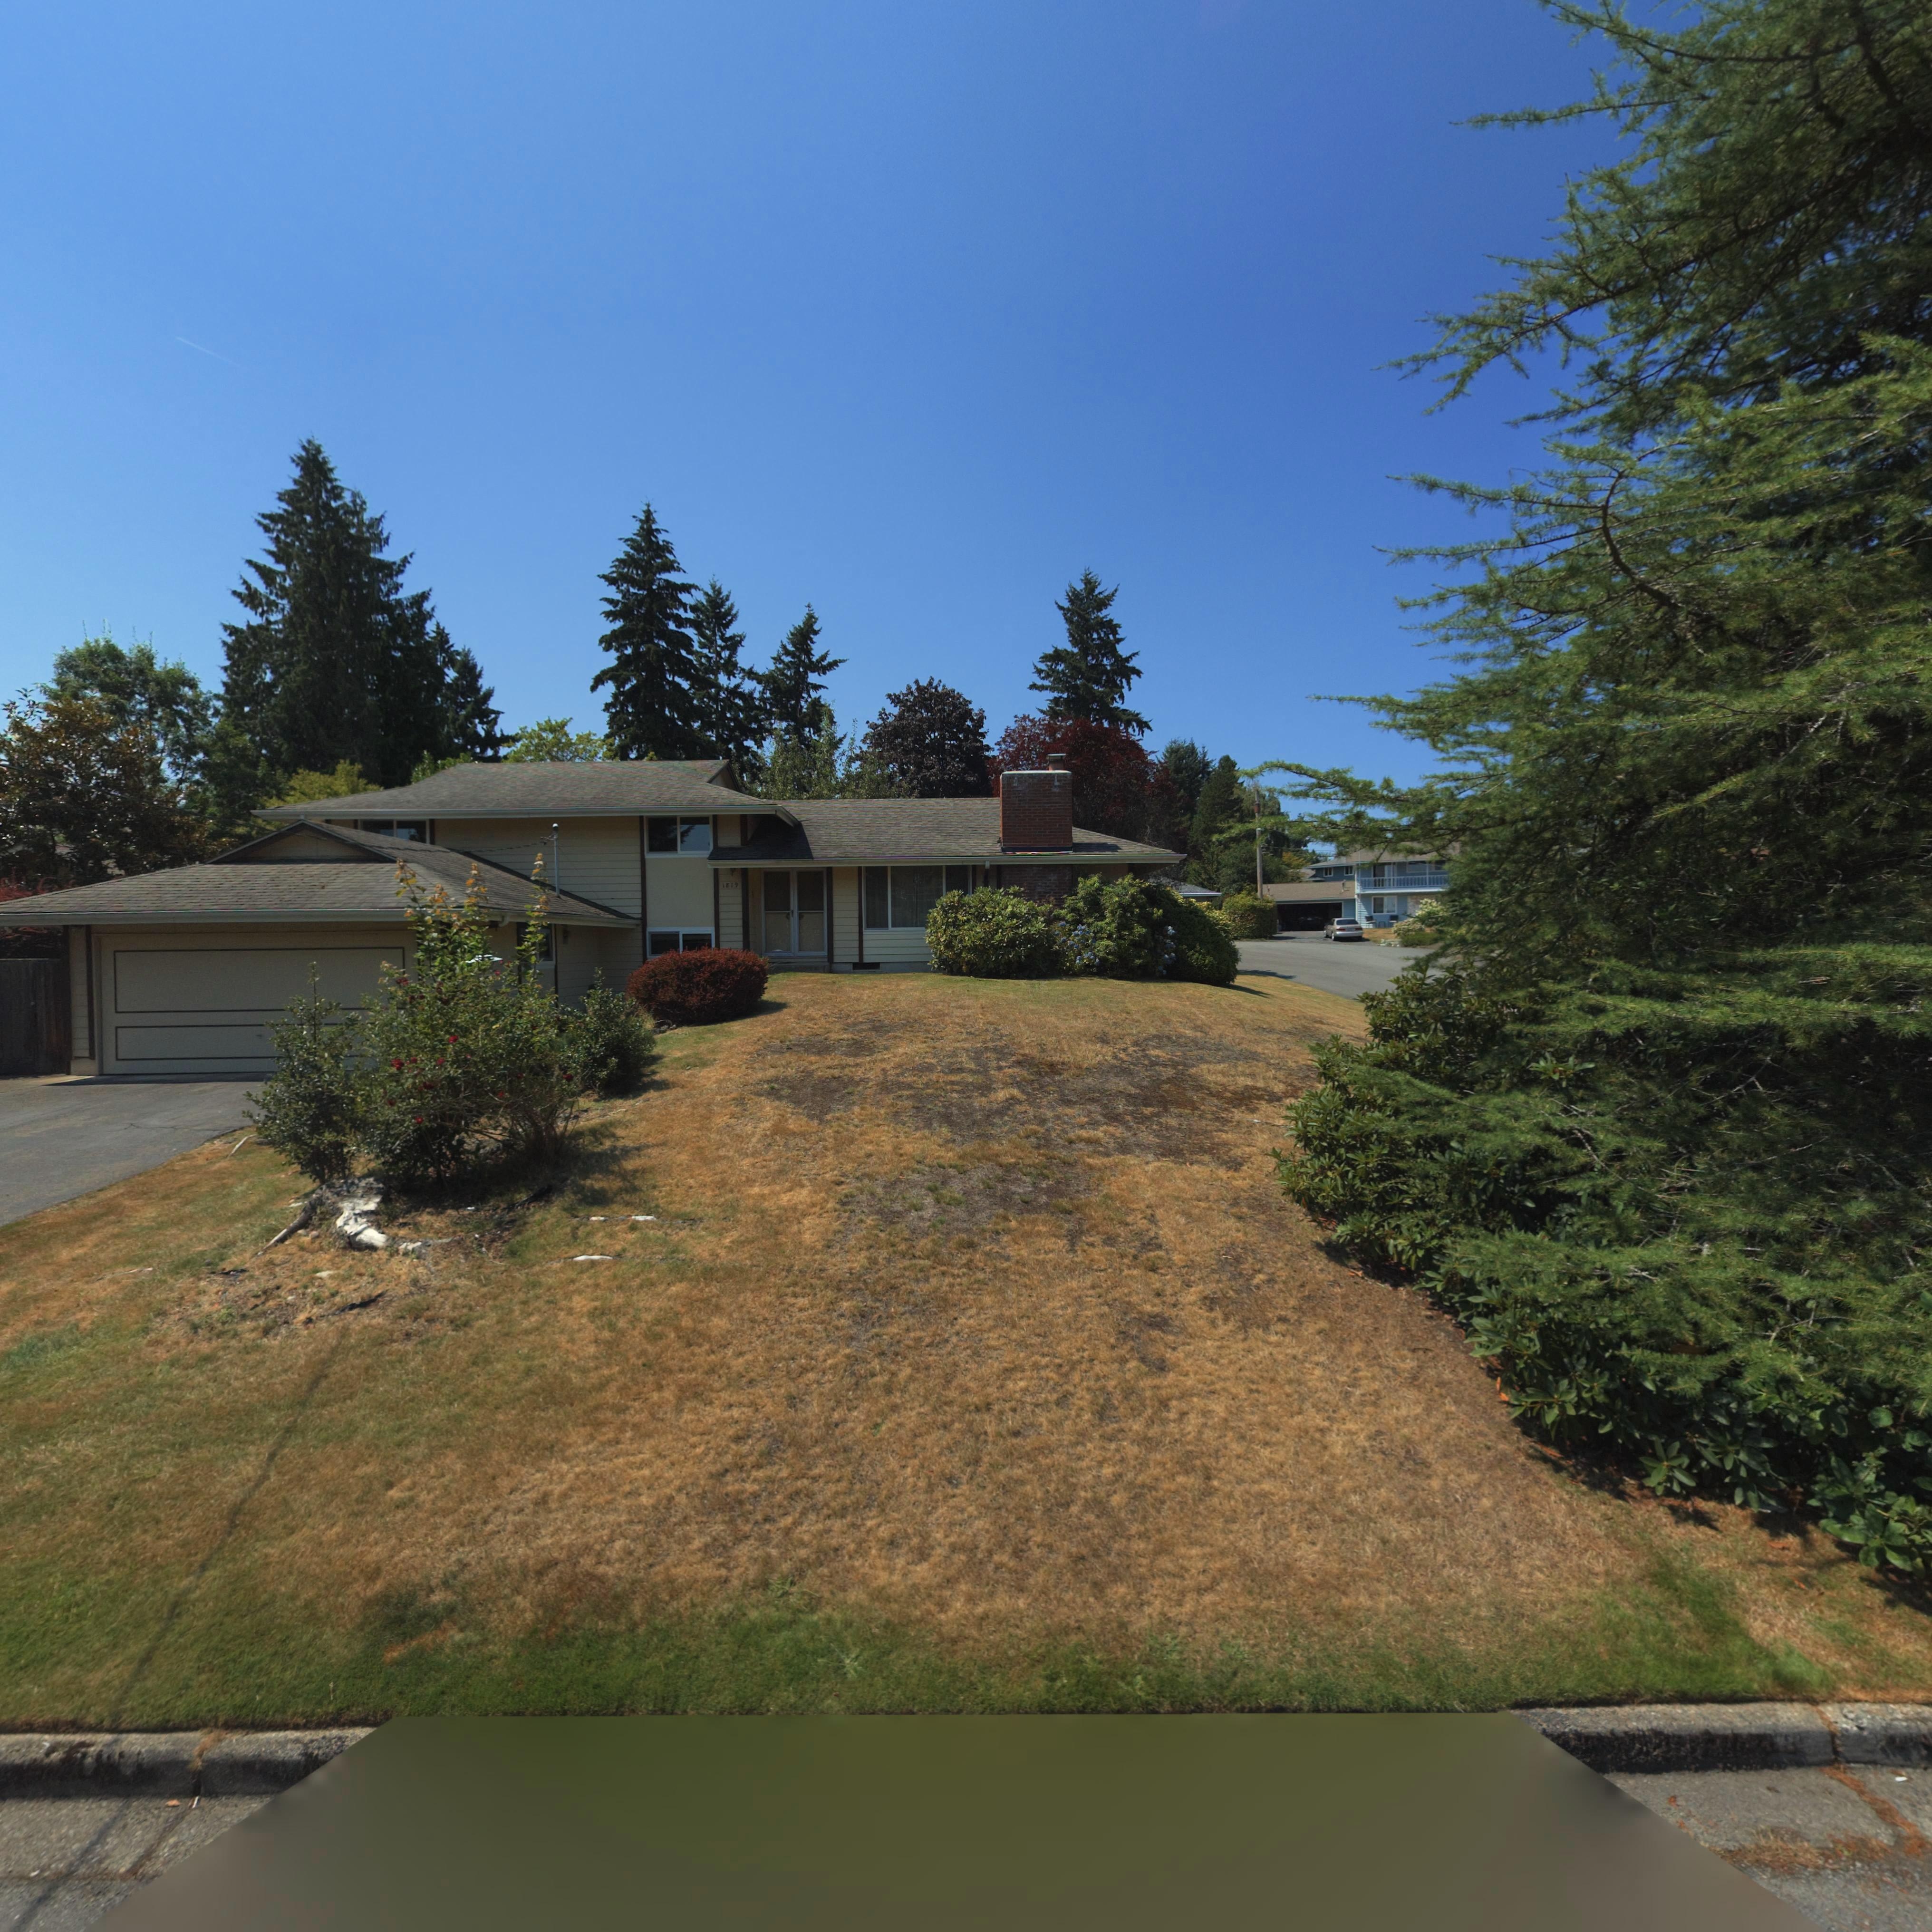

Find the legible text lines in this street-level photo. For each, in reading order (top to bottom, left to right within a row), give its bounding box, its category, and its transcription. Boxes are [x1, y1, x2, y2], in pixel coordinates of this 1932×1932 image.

[722, 882, 738, 888] StreetNumber: 1819